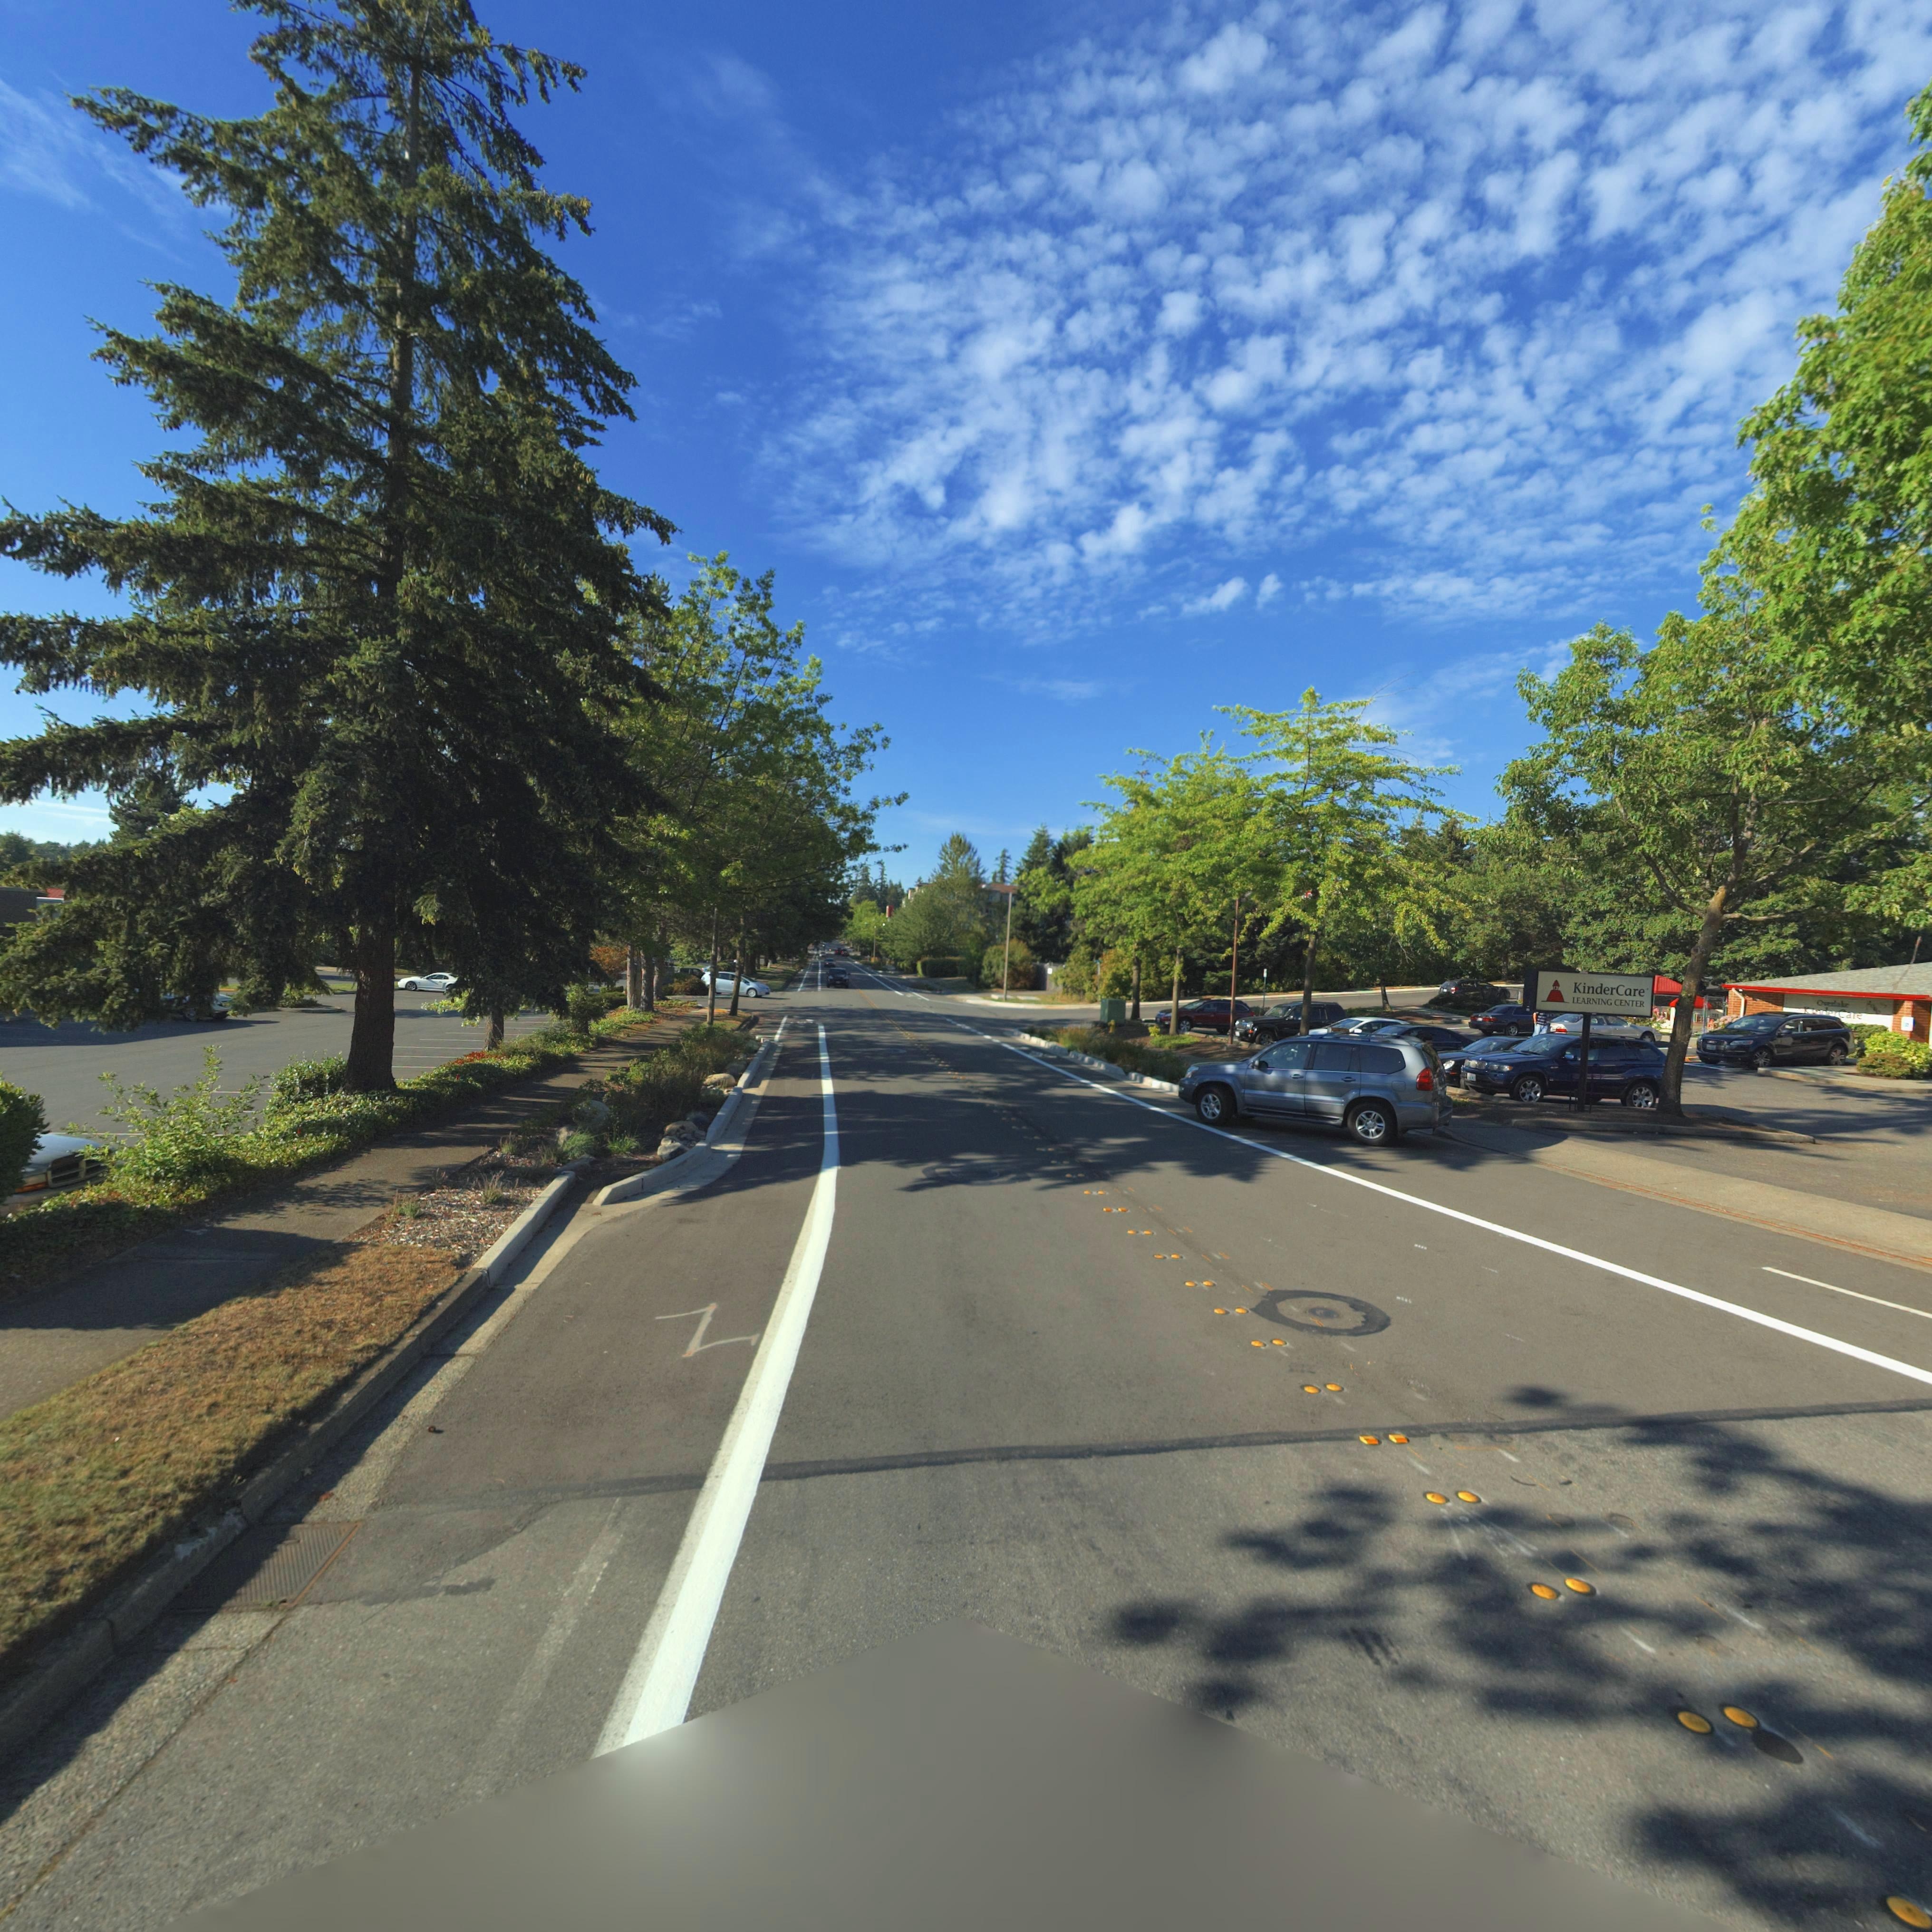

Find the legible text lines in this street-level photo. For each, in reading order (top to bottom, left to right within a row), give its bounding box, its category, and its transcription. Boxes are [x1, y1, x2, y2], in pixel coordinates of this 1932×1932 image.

[1573, 982, 1644, 996] BusinessName: KmderCare
[1572, 995, 1645, 1008] BusinessName: LEARNING CENTER
[1816, 998, 1850, 1008] BusinessName: Oe**a*e
[1804, 1006, 1863, 1020] BusinessName: K**derCare
[1866, 1000, 1881, 1015] StreetNumber: 2**0